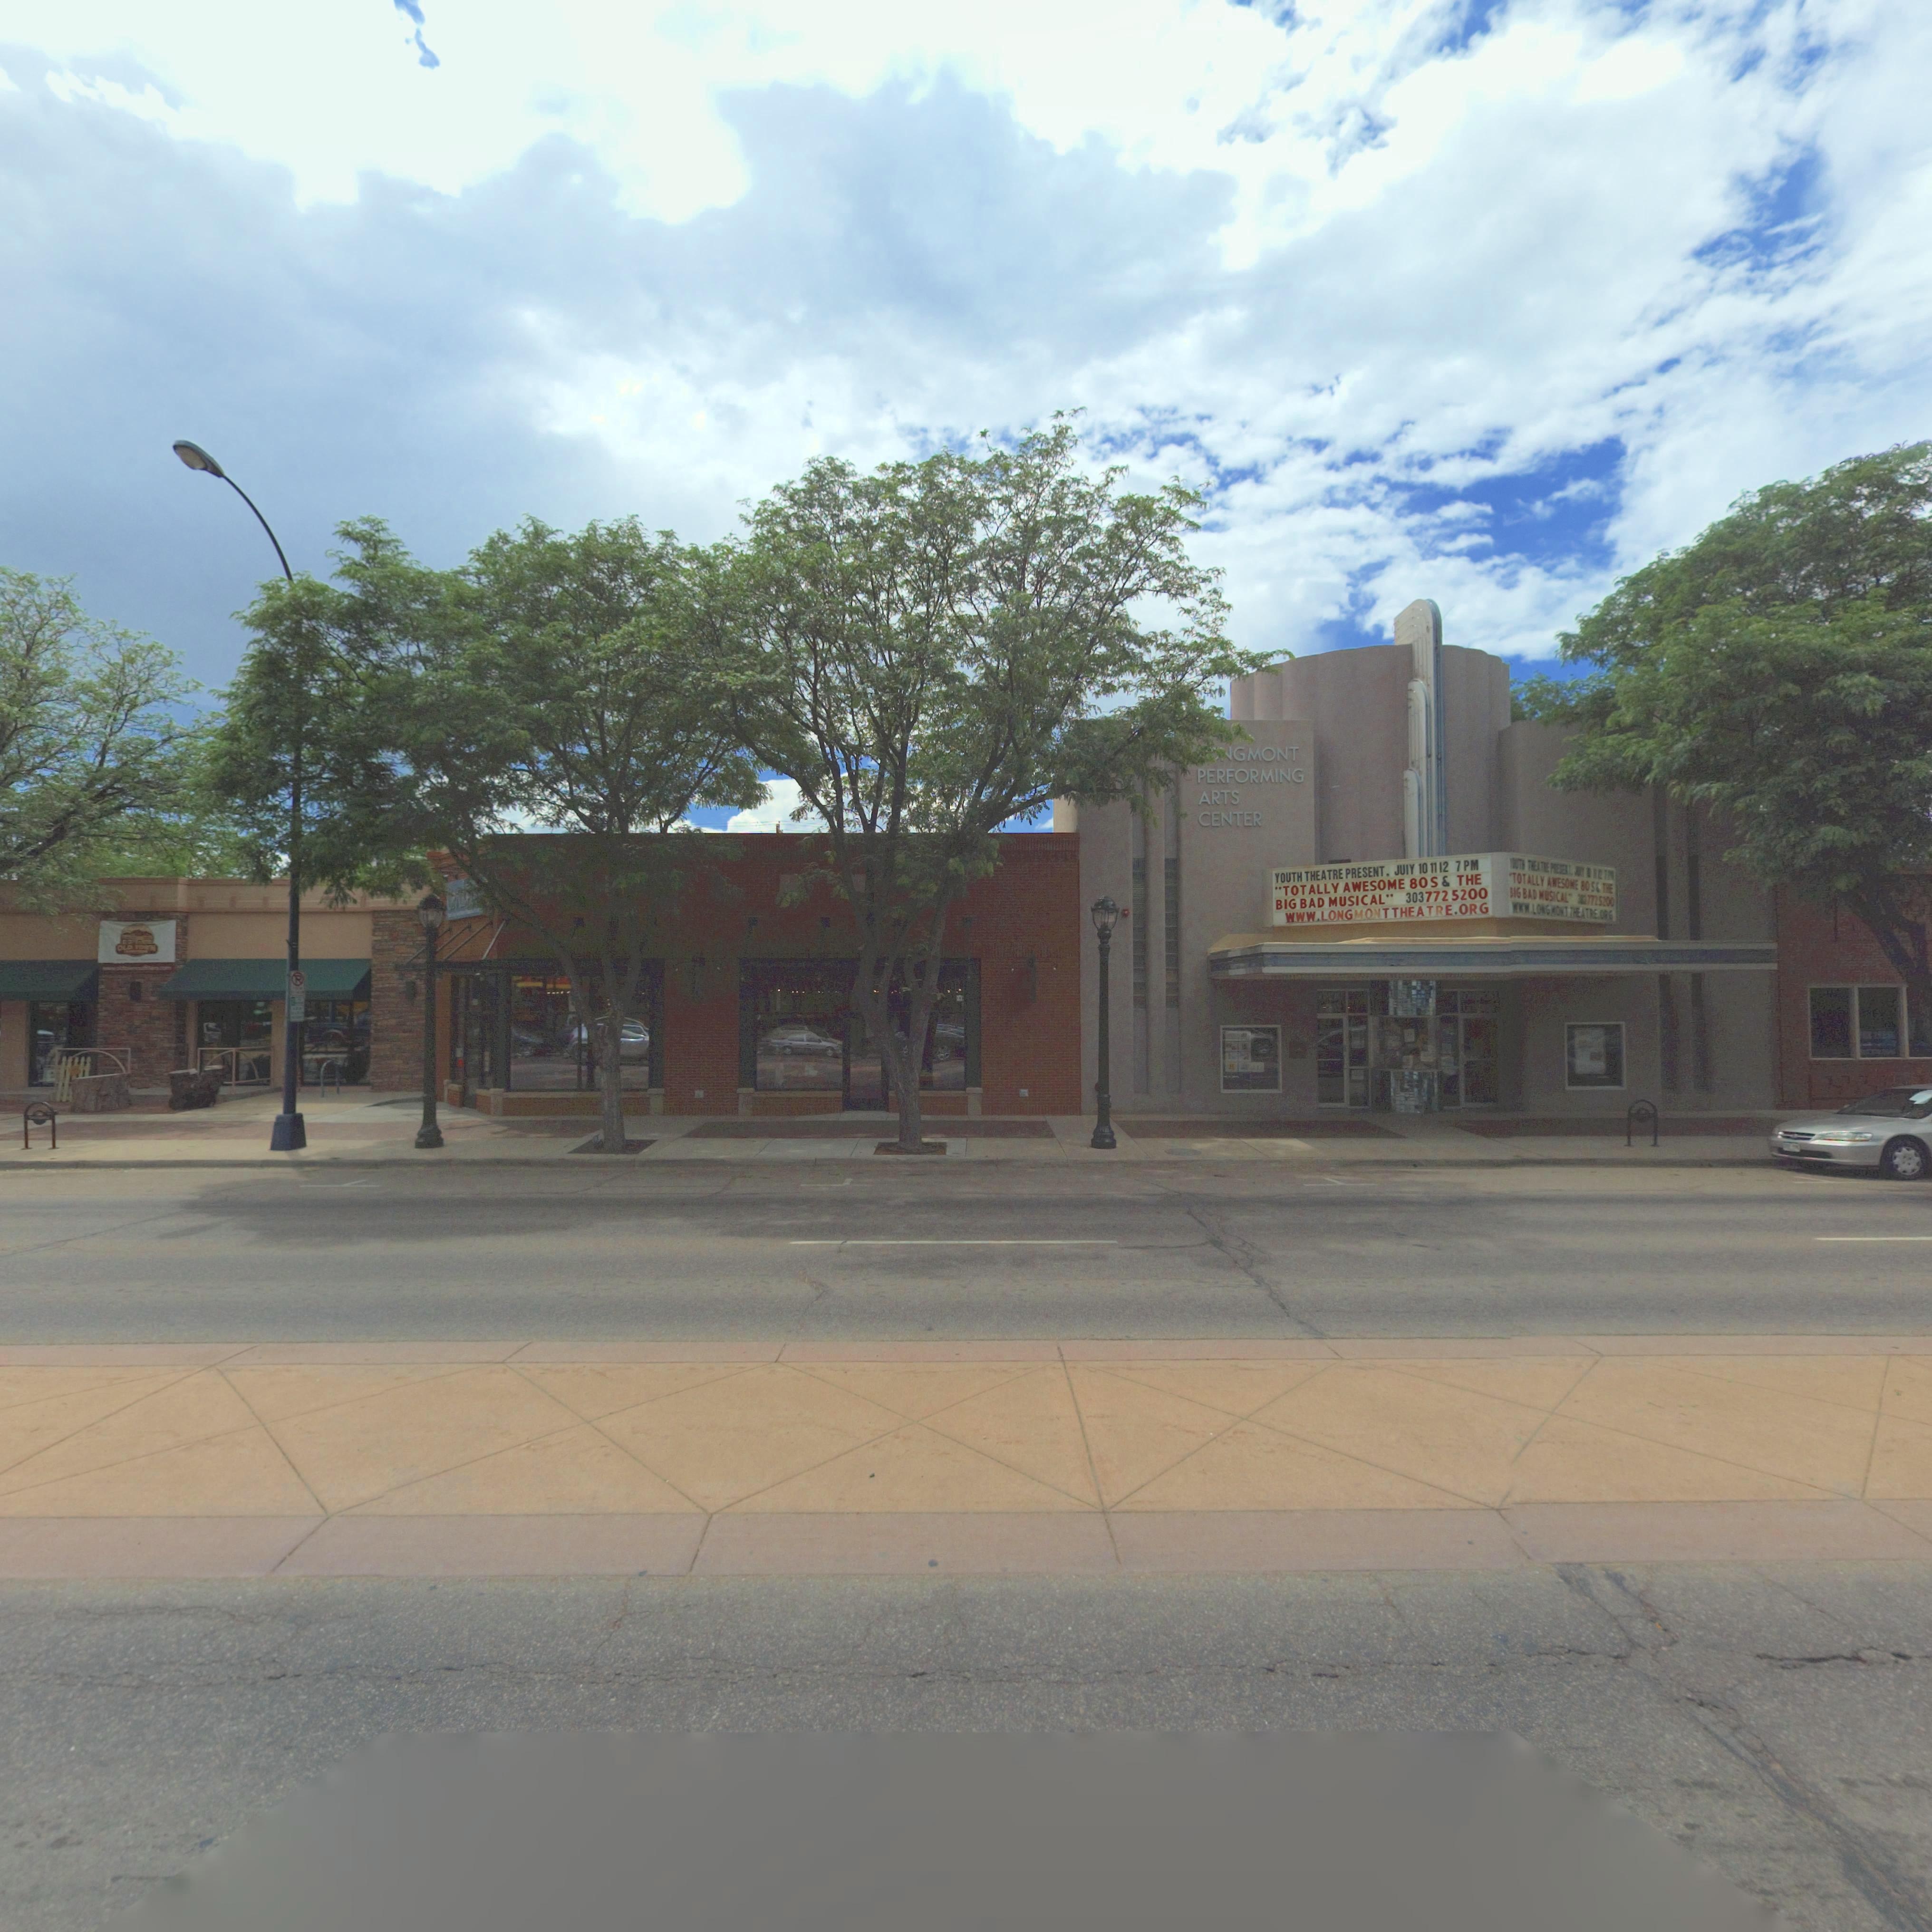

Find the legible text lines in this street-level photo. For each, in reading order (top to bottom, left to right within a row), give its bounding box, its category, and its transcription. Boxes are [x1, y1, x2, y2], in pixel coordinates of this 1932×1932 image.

[1232, 745, 1301, 762] BusinessName: GMONT
[1196, 767, 1304, 784] BusinessName: PERFORMING
[1196, 789, 1240, 805] BusinessName: ARTS
[1197, 810, 1263, 828] BusinessName: CENTER
[116, 944, 156, 952] BusinessName: OLD TOWN